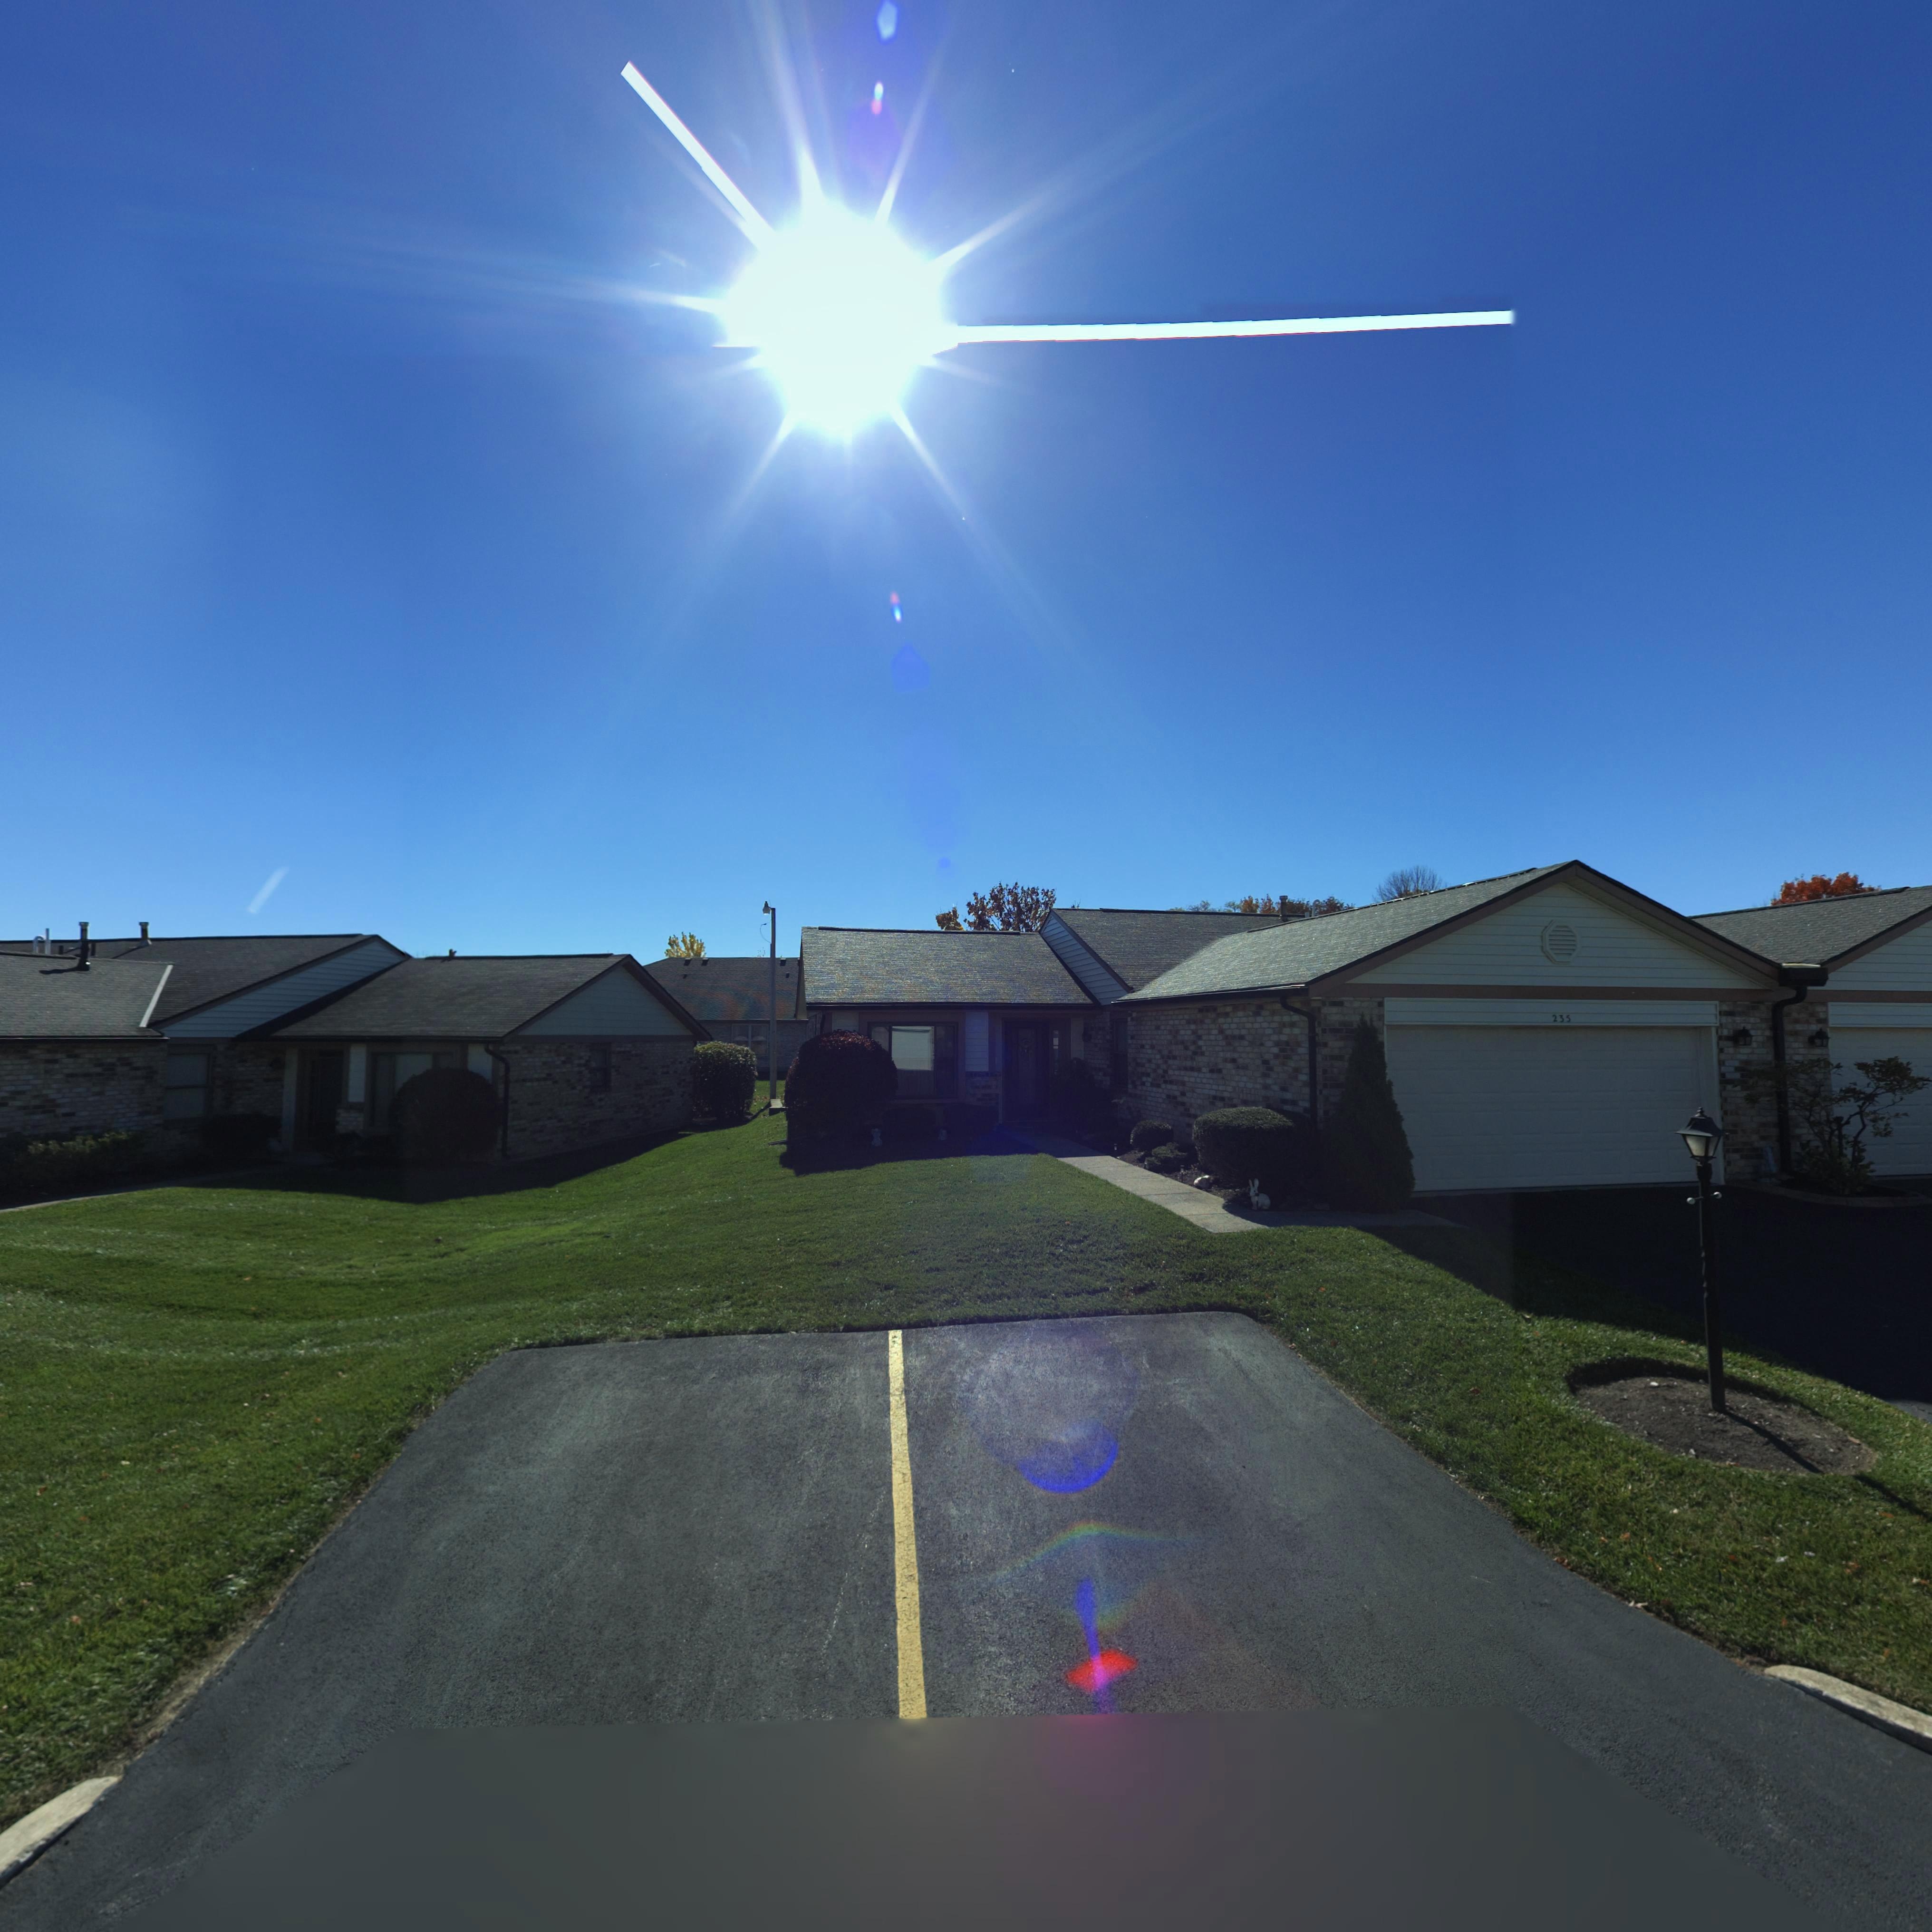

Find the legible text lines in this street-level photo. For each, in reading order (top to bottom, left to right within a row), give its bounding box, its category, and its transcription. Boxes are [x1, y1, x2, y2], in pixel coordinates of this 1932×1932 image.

[1551, 1014, 1572, 1024] StreetNumber: 235